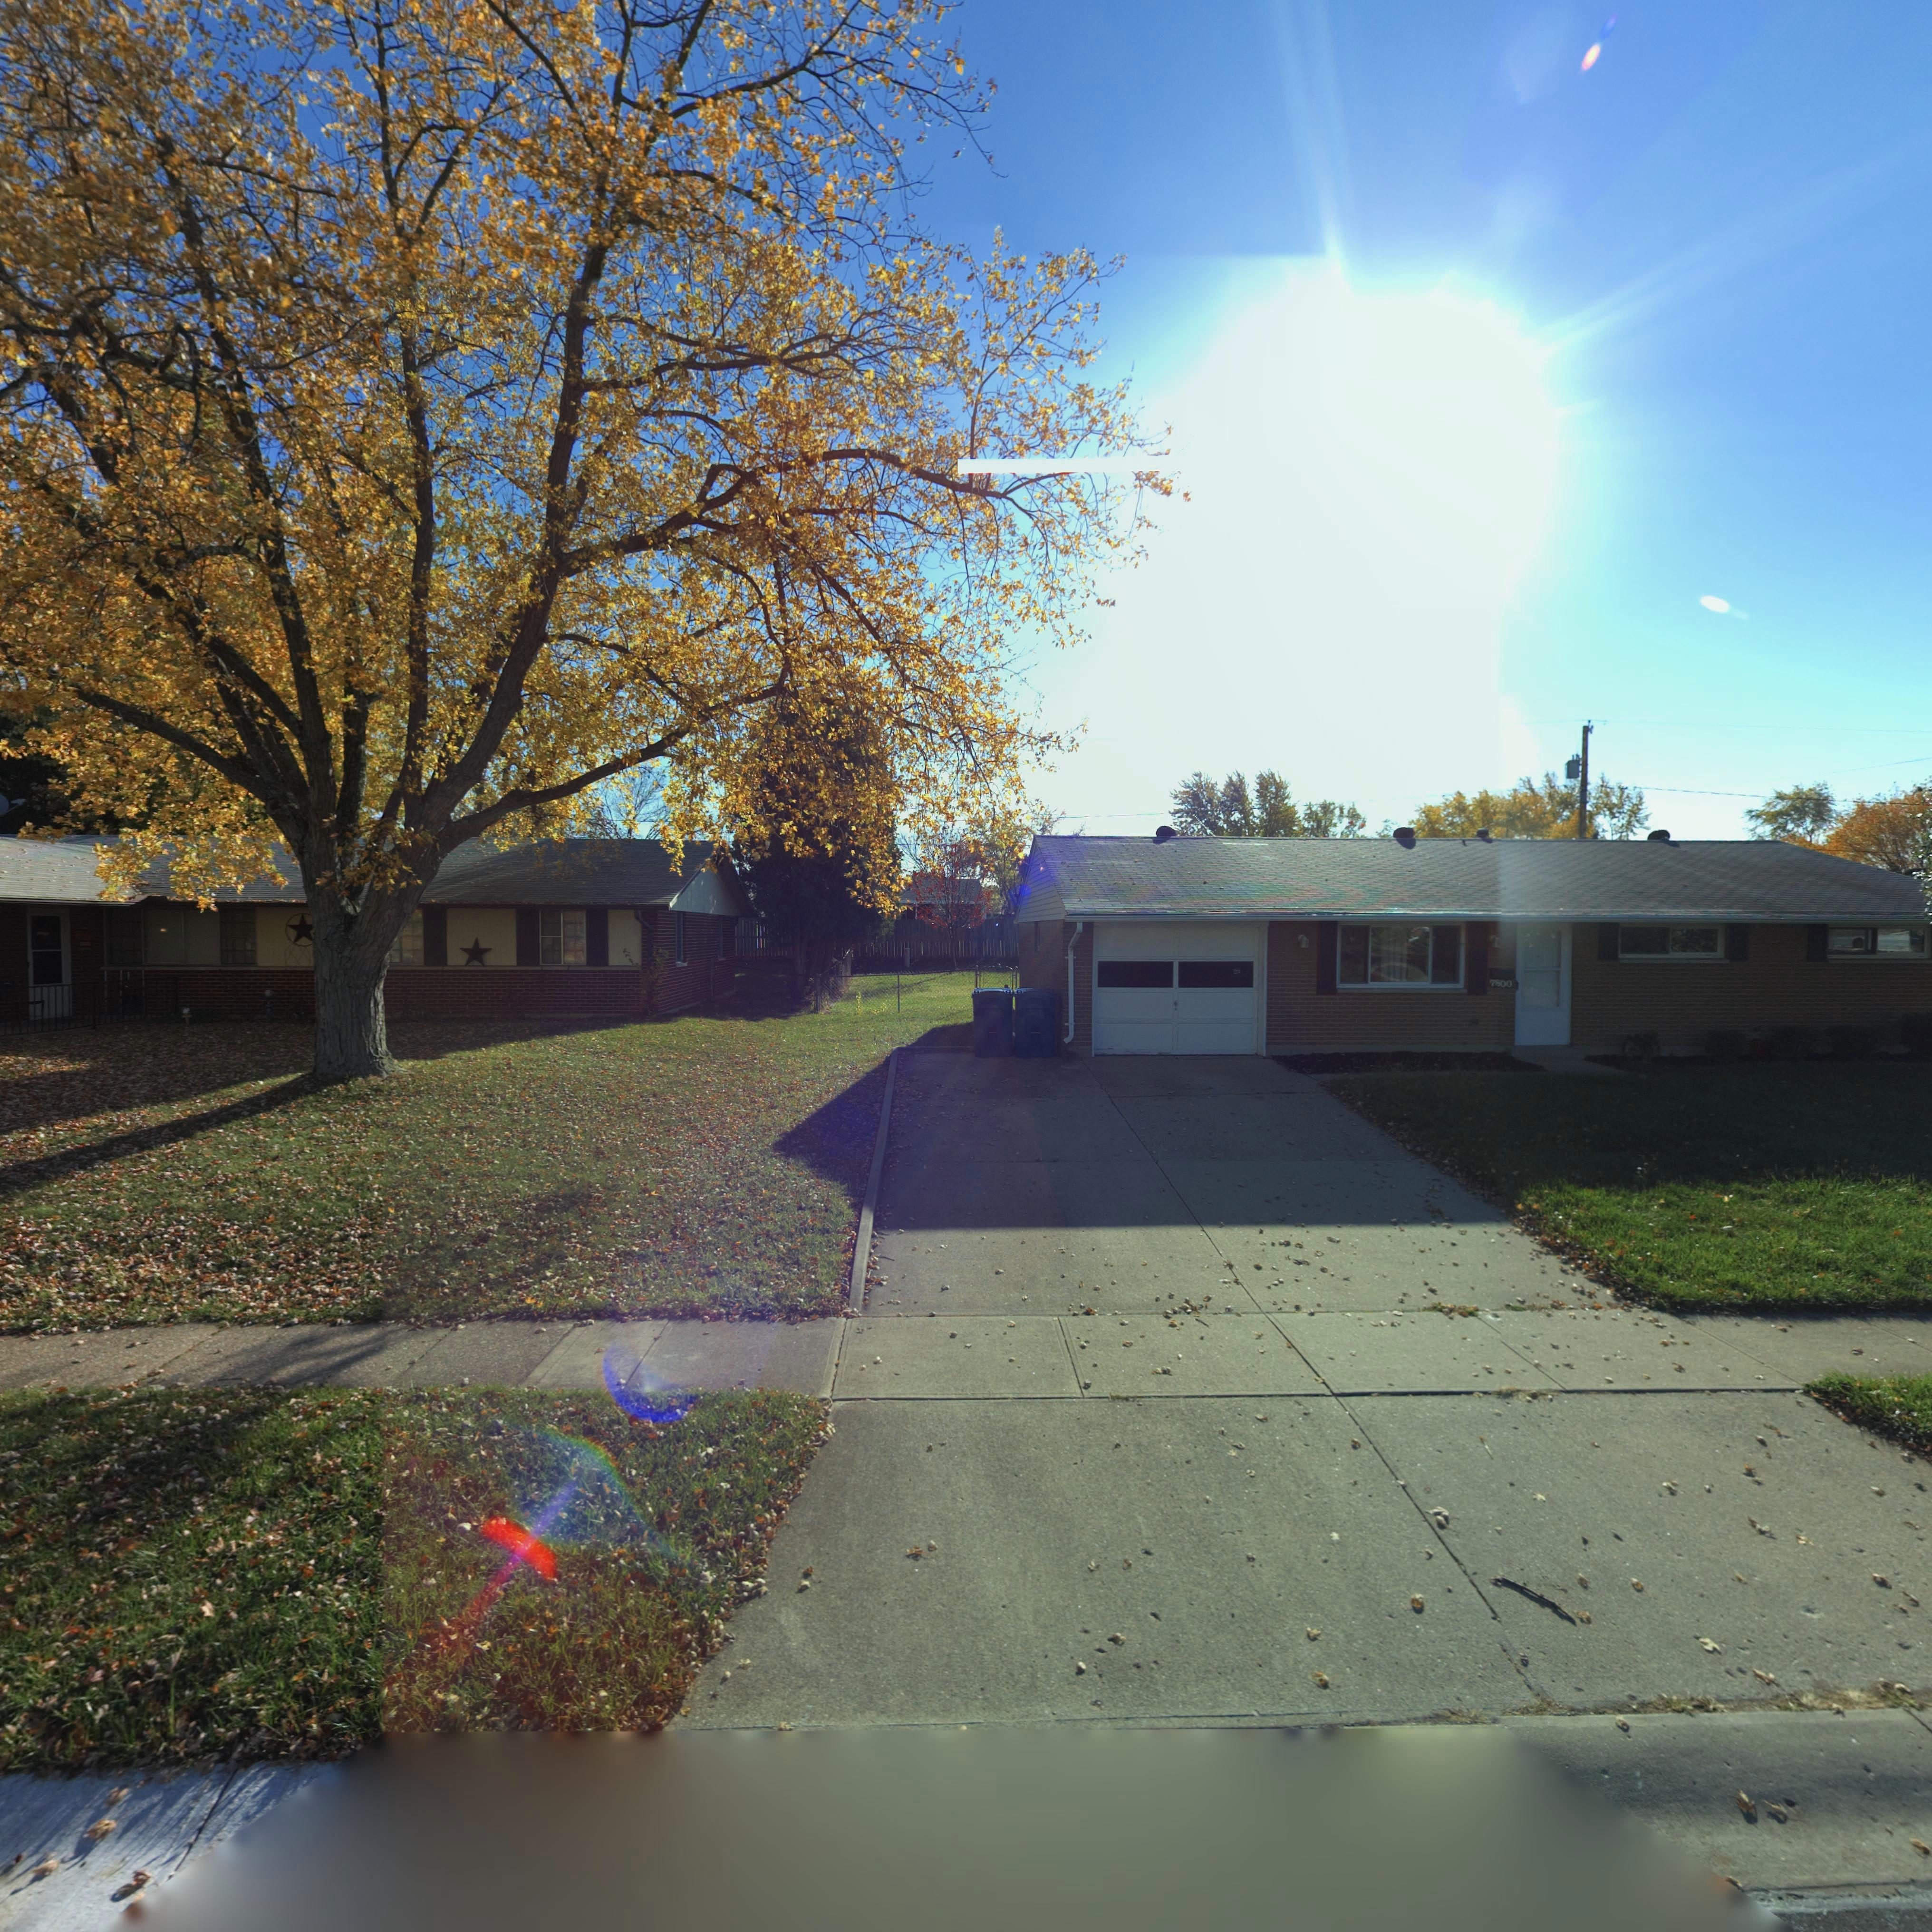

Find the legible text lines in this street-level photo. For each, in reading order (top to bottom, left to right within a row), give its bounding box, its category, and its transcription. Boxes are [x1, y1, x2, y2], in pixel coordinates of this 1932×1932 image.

[1488, 978, 1514, 989] StreetNumber: 7800